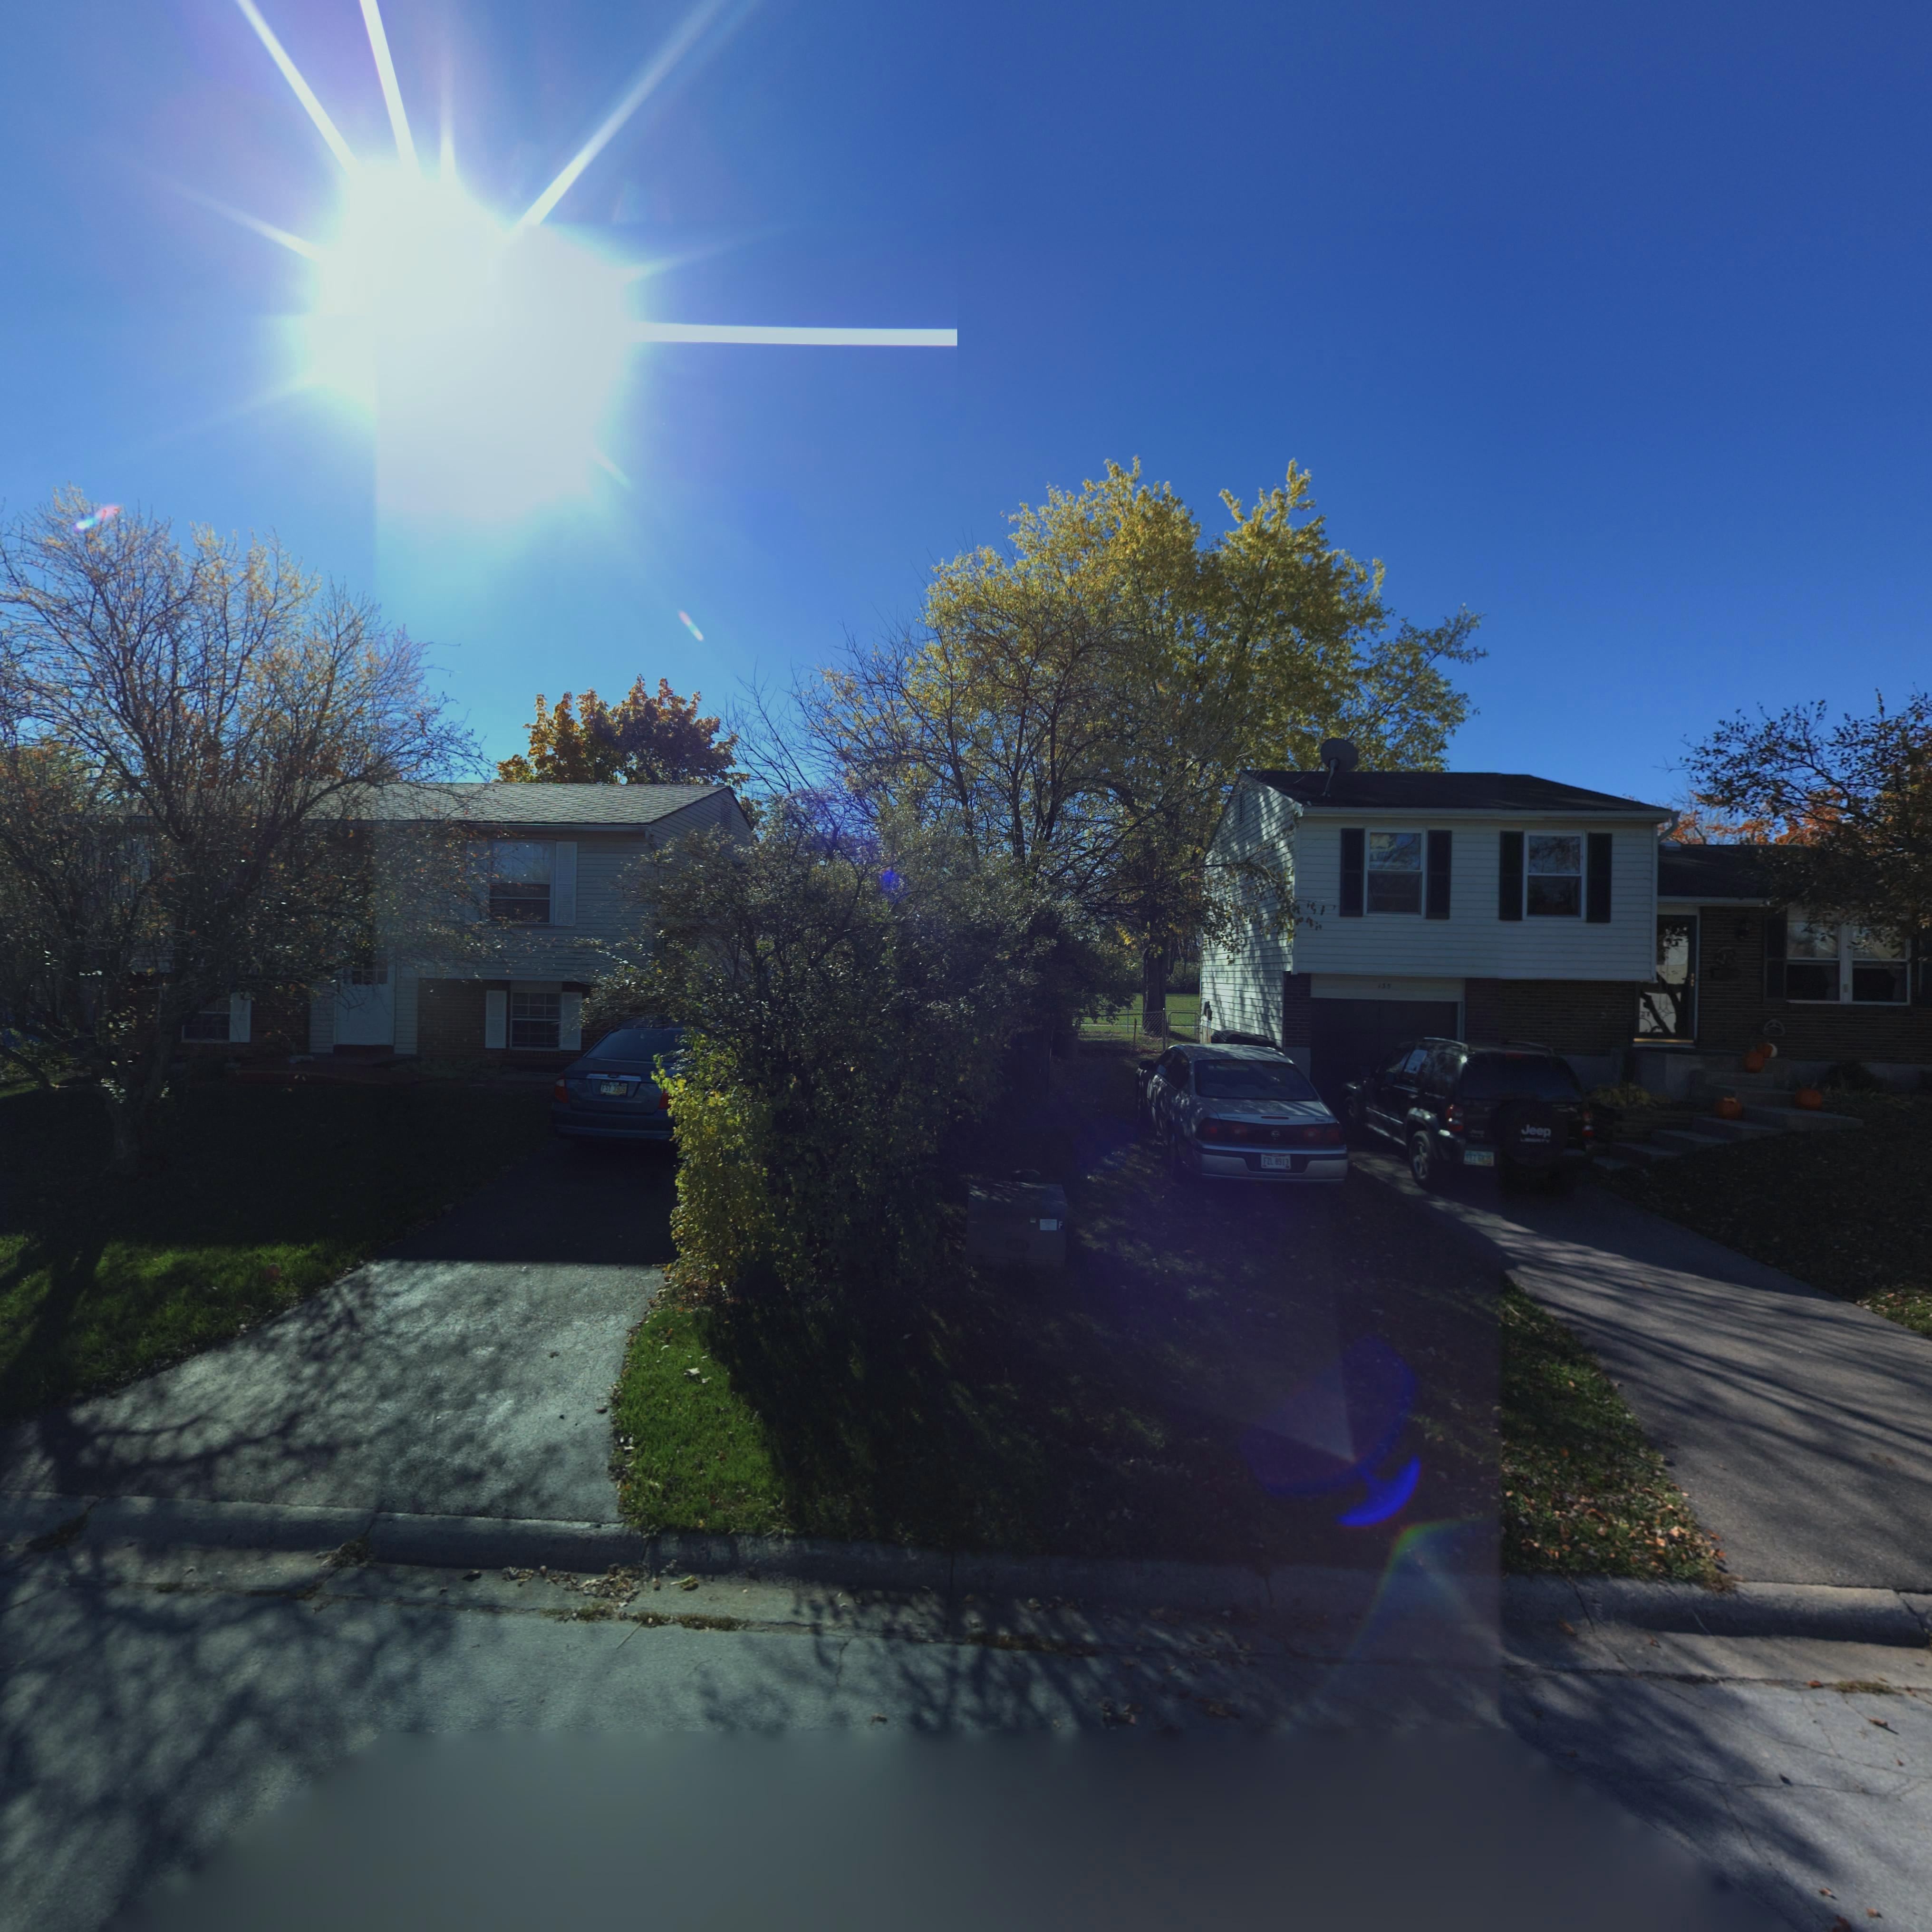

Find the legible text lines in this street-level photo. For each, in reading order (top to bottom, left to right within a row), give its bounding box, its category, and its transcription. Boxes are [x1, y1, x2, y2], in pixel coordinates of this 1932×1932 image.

[1377, 982, 1392, 990] StreetNumber: 135